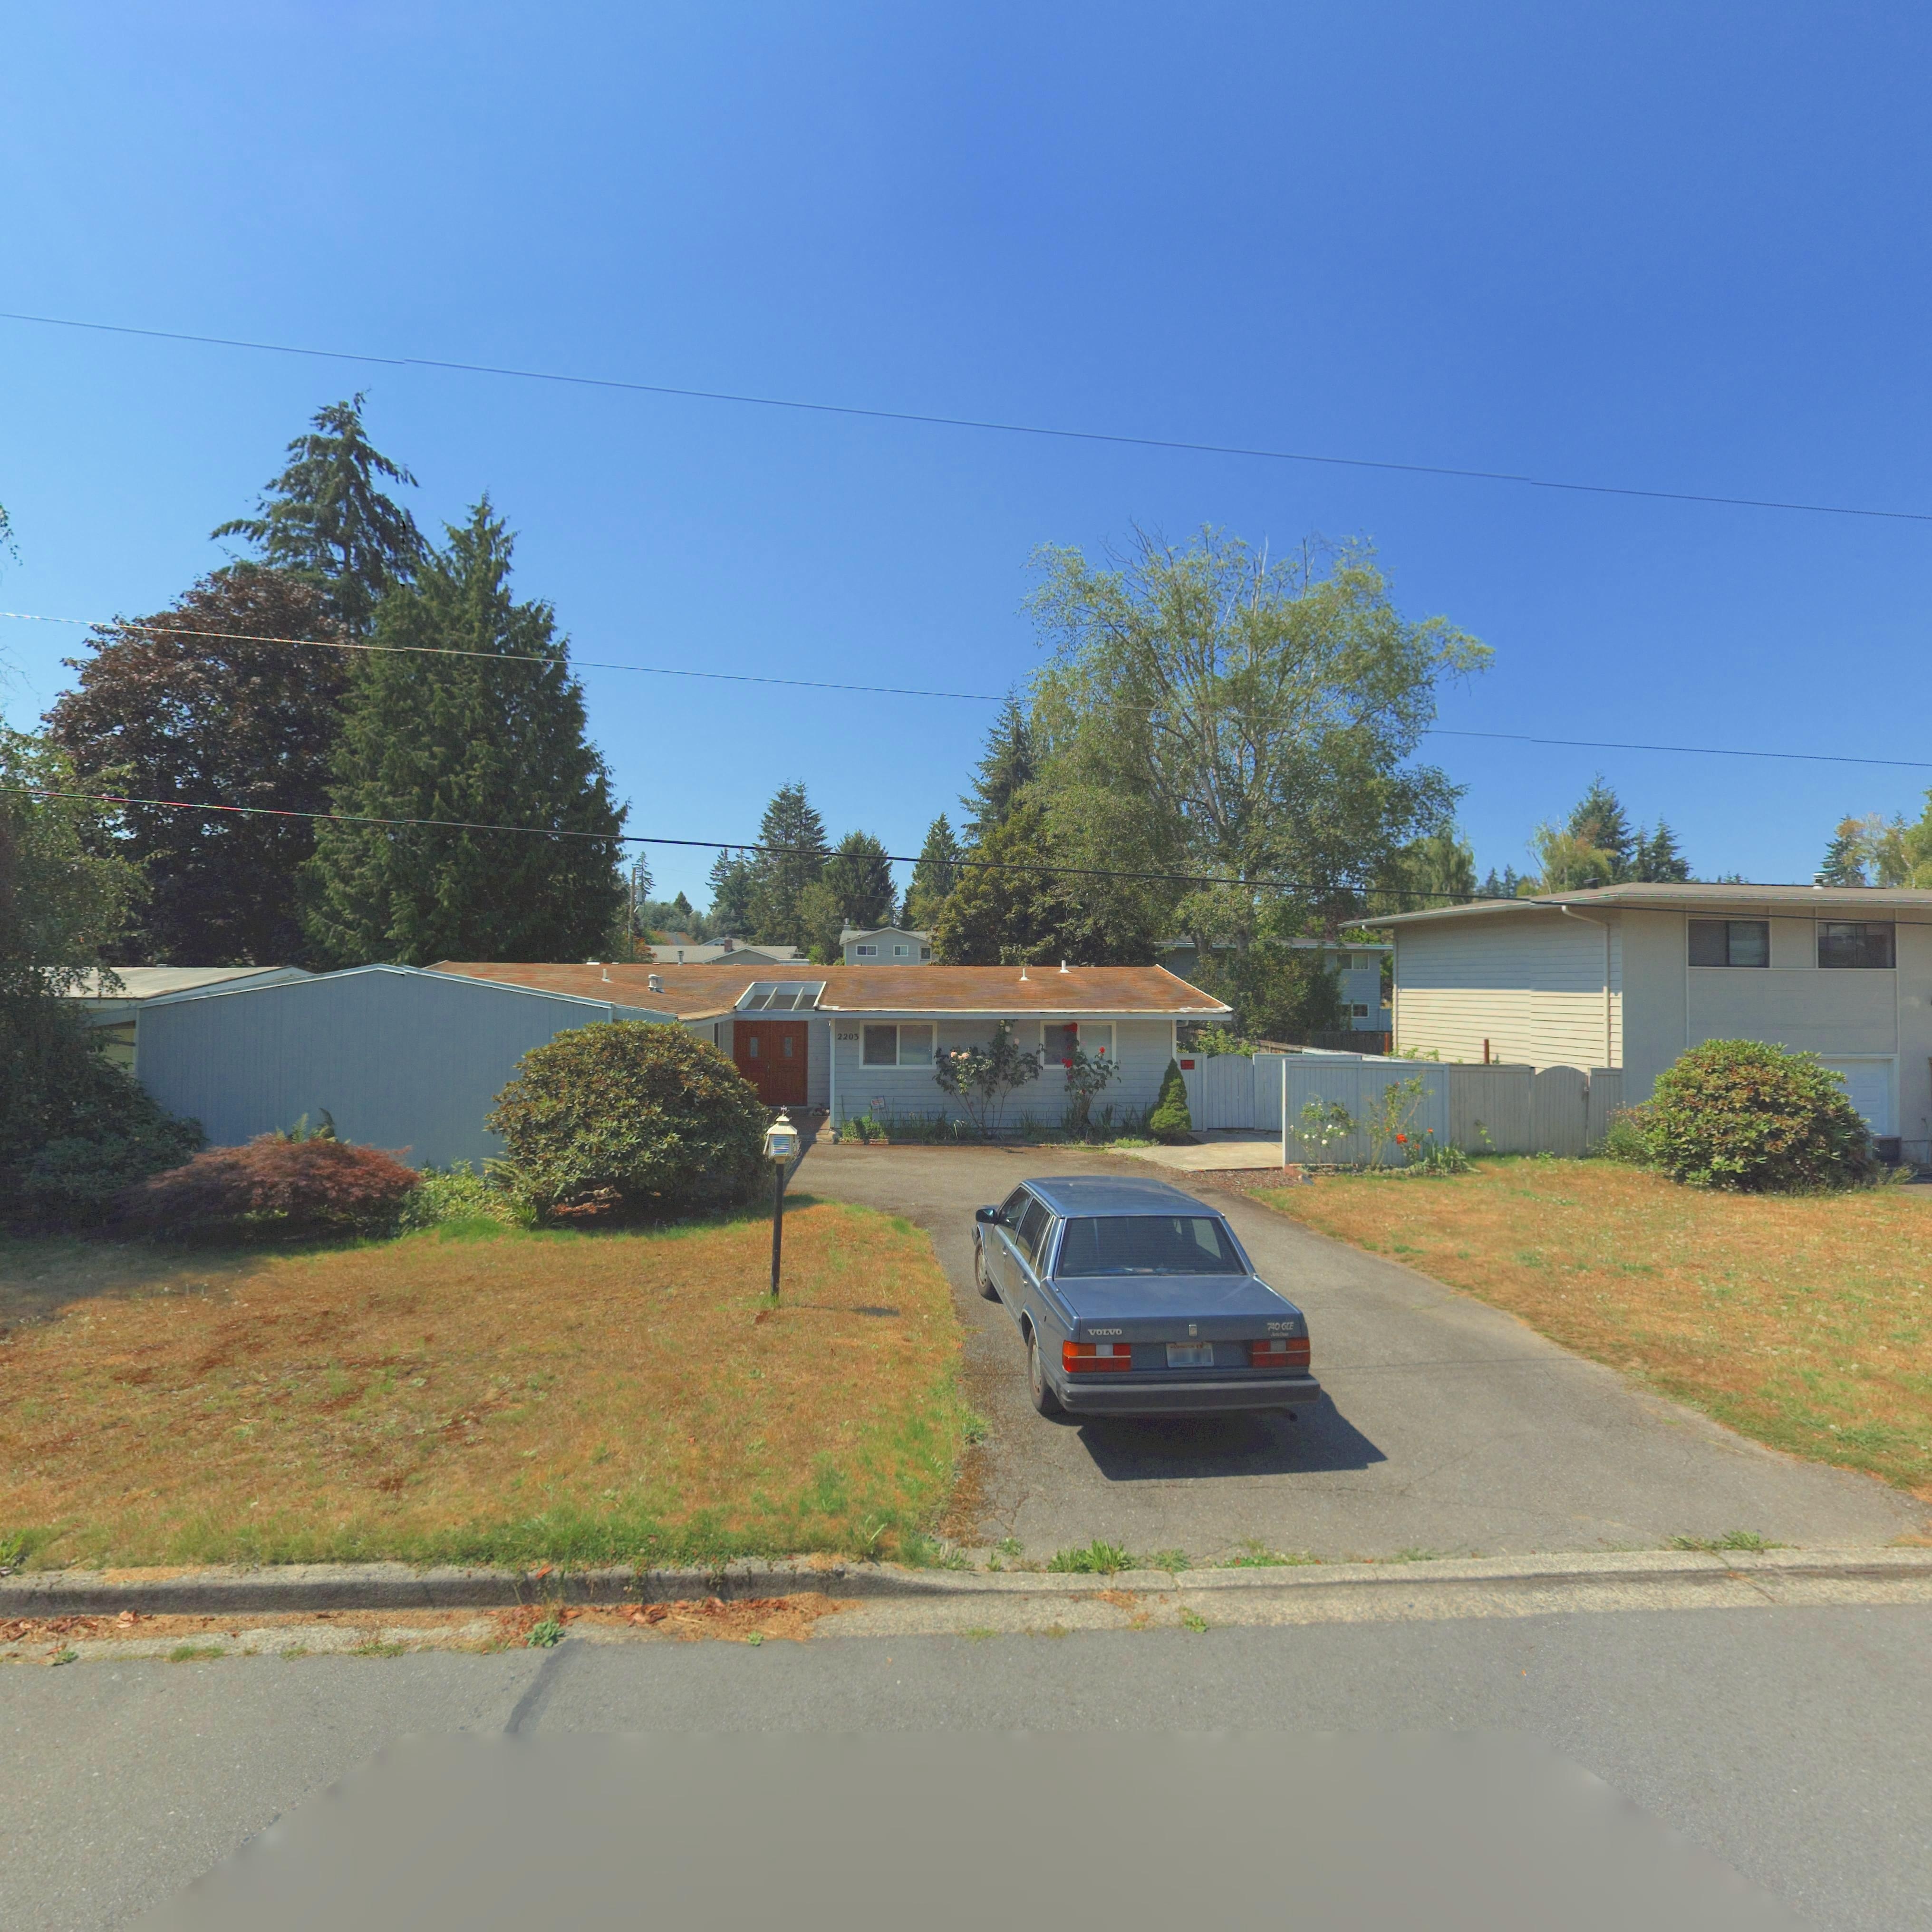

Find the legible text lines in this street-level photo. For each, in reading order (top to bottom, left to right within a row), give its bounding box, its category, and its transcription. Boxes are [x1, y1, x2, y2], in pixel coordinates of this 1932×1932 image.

[838, 1033, 859, 1040] StreetNumber: 2203